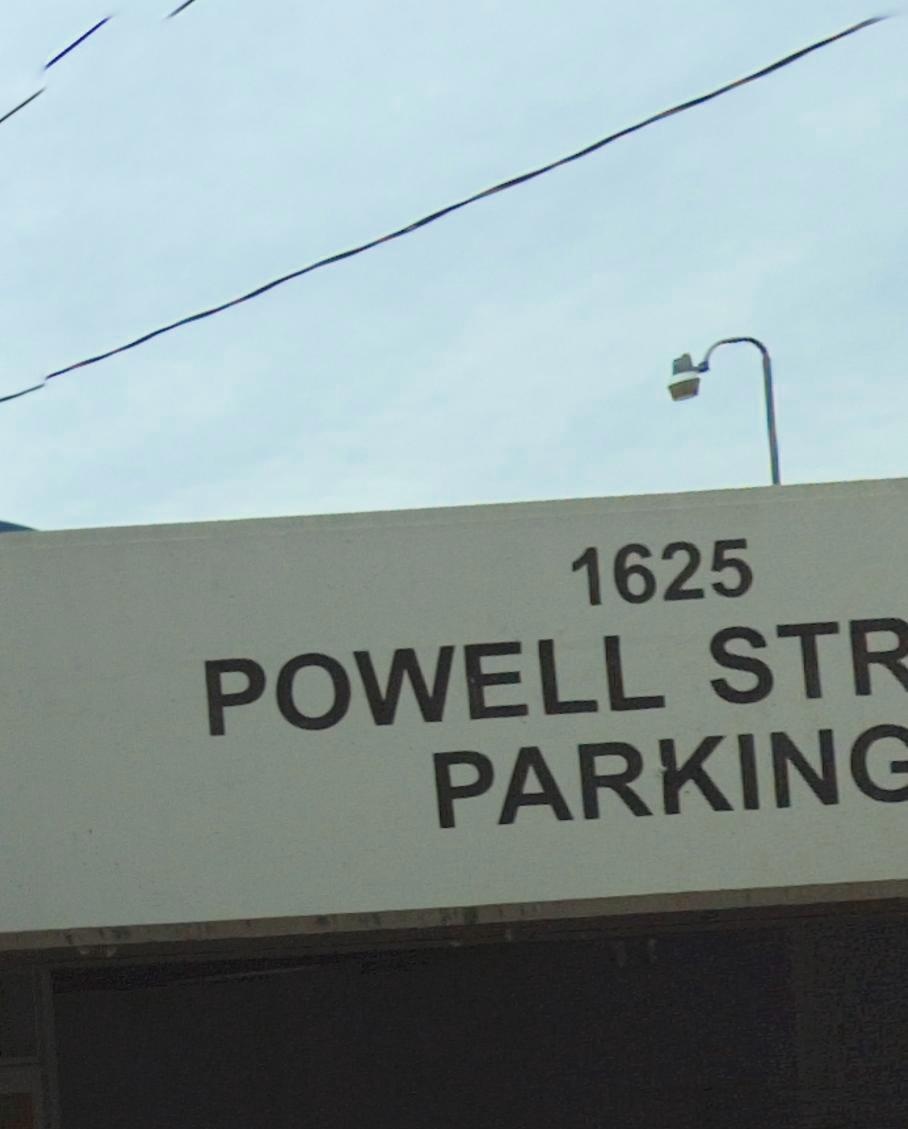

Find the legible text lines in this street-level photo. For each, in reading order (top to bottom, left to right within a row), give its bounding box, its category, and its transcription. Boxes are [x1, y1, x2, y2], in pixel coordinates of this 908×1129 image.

[569, 533, 760, 613] StreetNumber: 1625
[192, 612, 847, 746] StreetName: POWELL ST
[423, 719, 845, 835] None: PARKIN